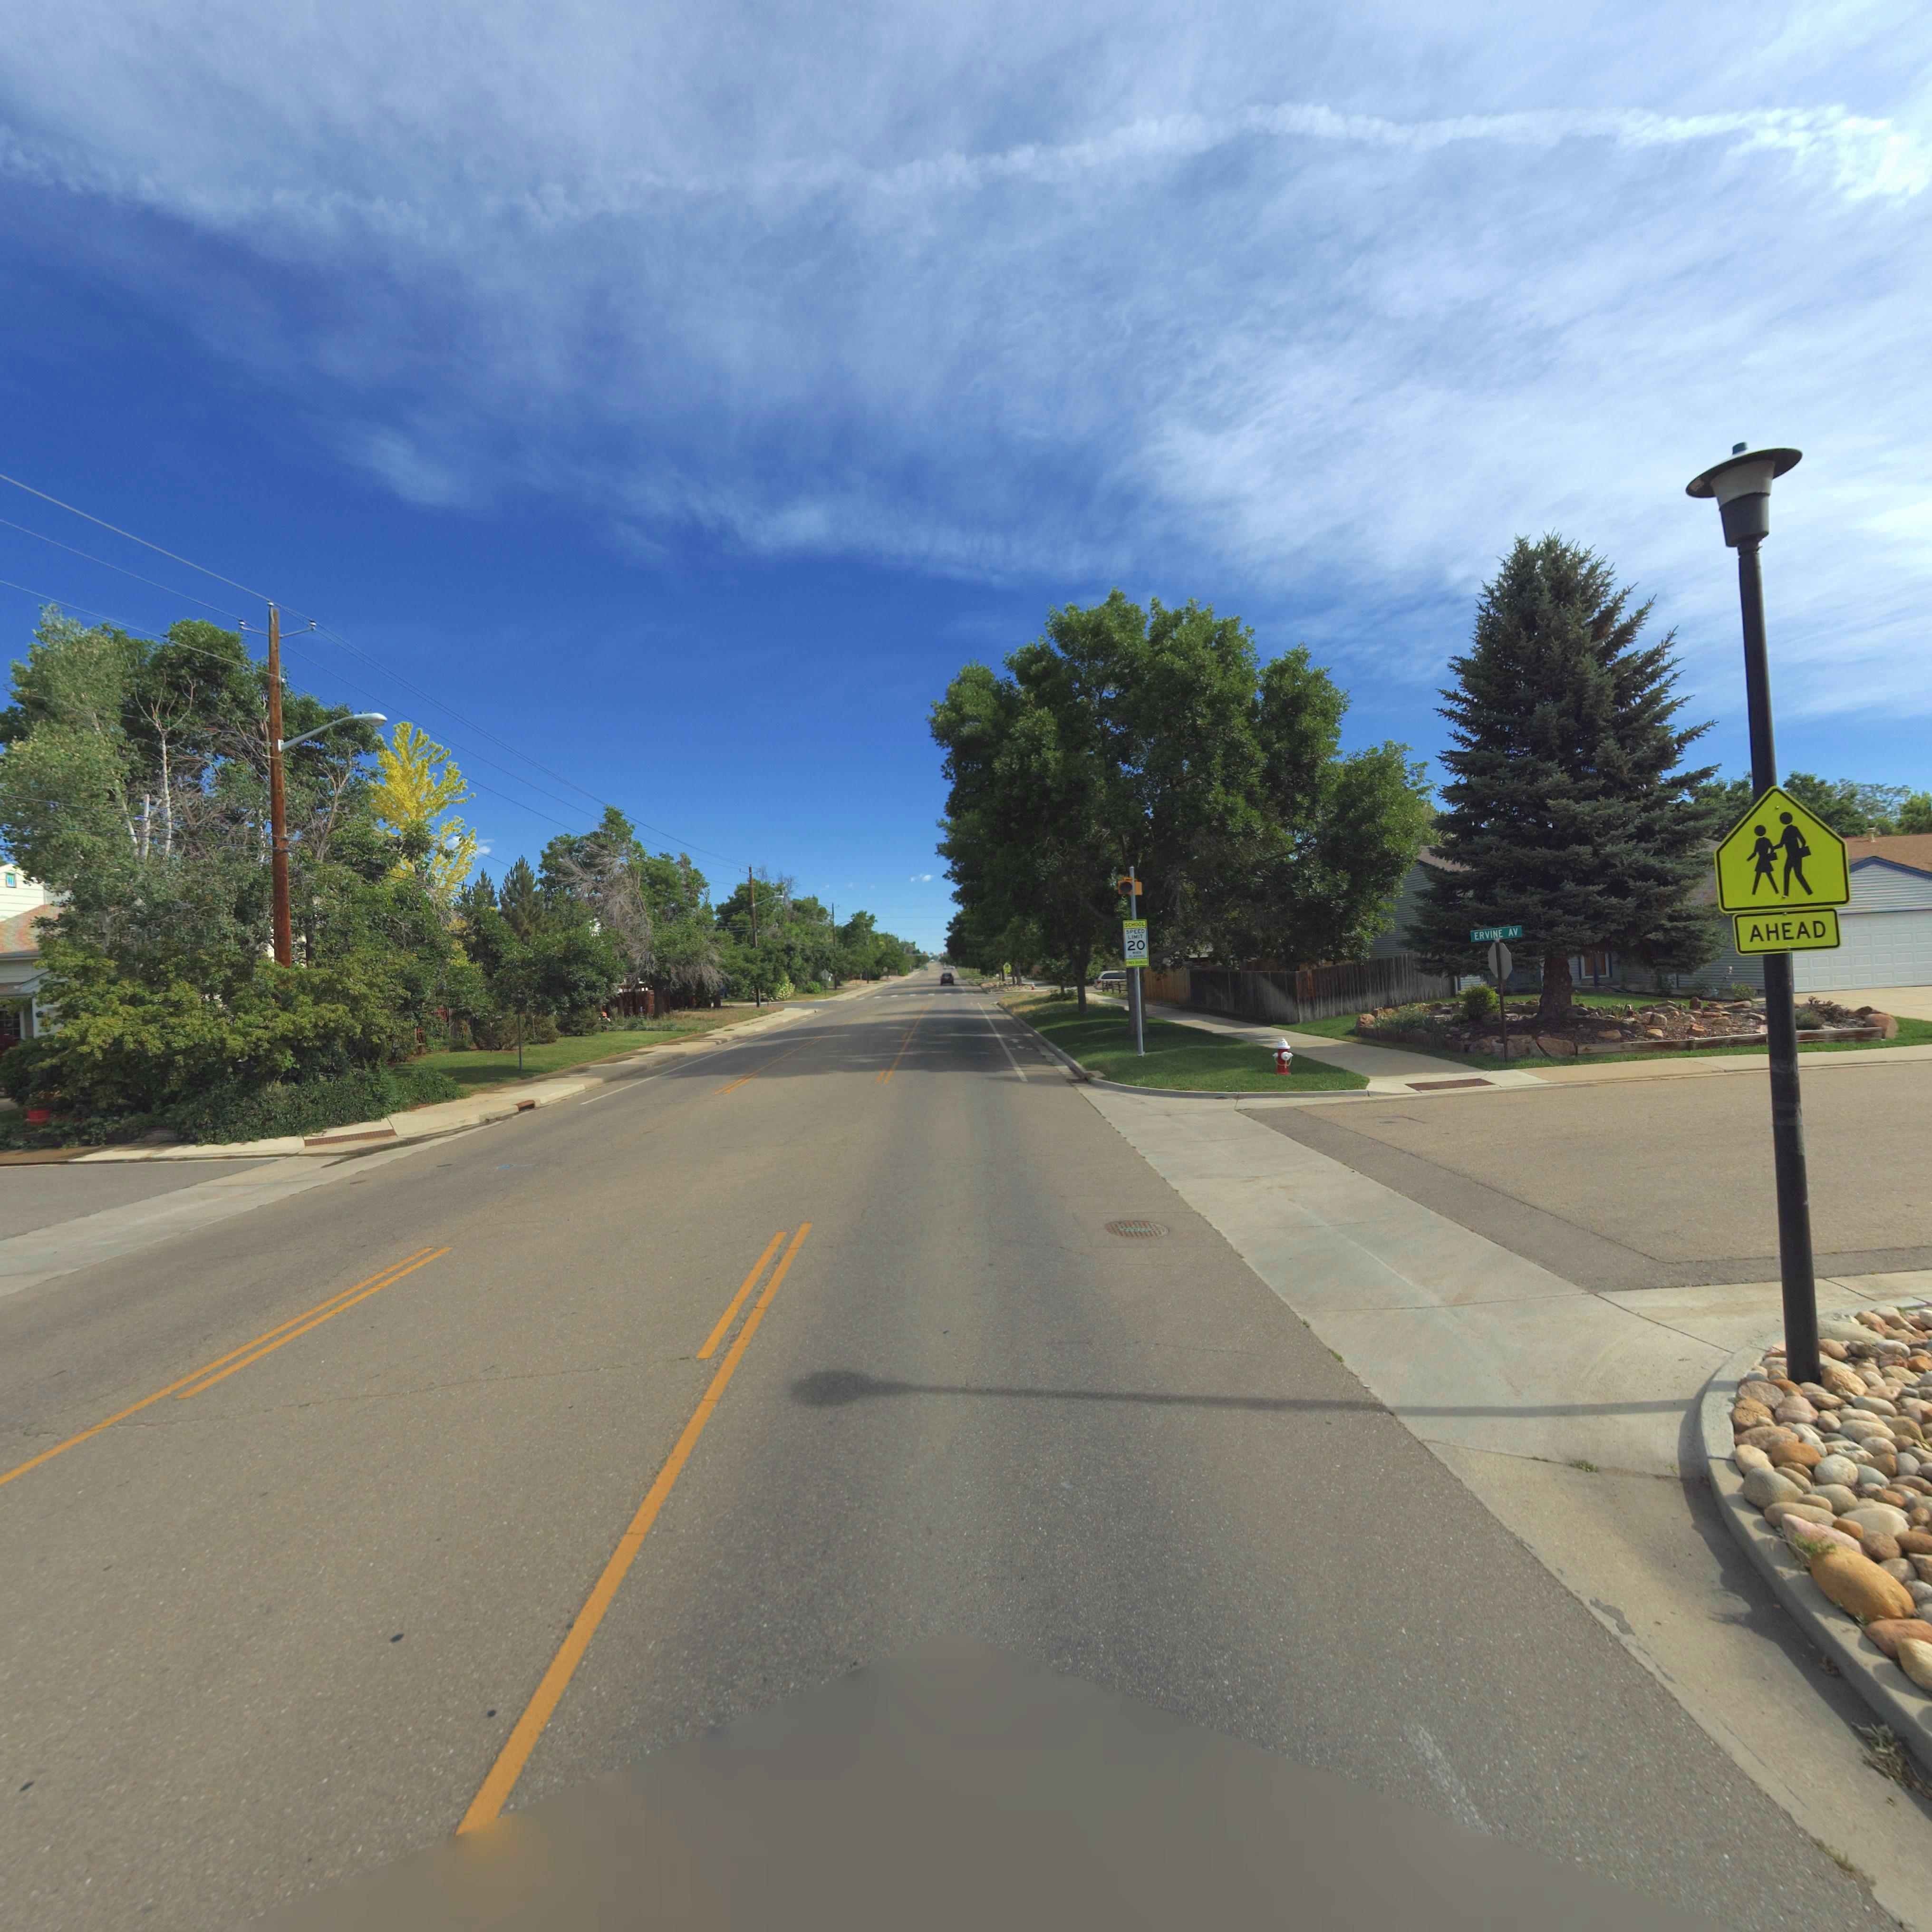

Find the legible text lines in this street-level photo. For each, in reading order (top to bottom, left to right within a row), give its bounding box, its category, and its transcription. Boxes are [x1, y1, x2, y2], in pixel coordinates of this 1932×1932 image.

[1473, 927, 1518, 940] StreetName: ERVINE AV